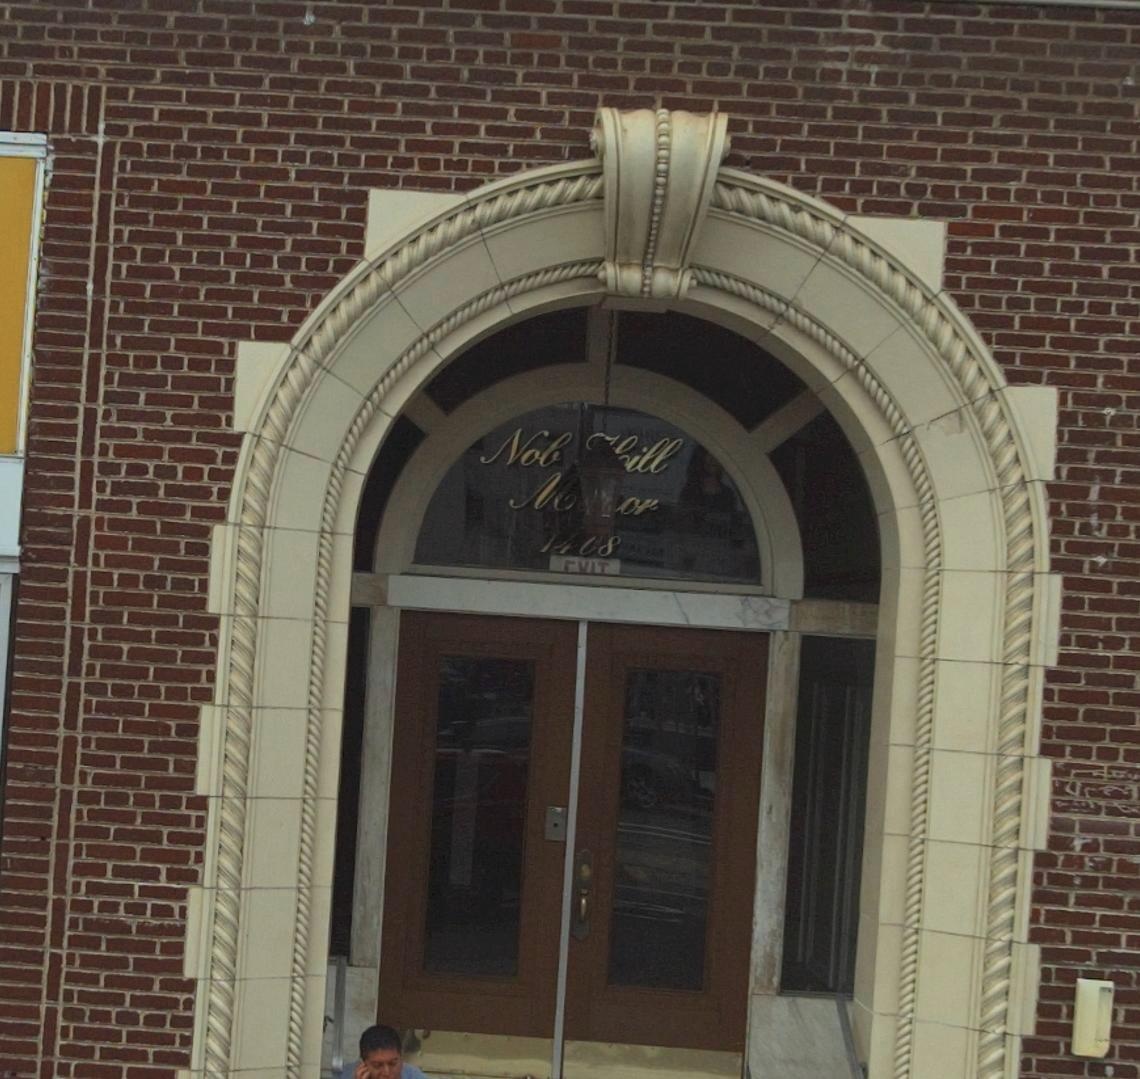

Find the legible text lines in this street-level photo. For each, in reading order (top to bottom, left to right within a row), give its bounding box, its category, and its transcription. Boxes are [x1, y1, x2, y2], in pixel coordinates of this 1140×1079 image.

[477, 425, 687, 475] None: Nob *ill
[505, 470, 663, 519] None: M**or
[536, 531, 625, 559] StreetNumber: 1408